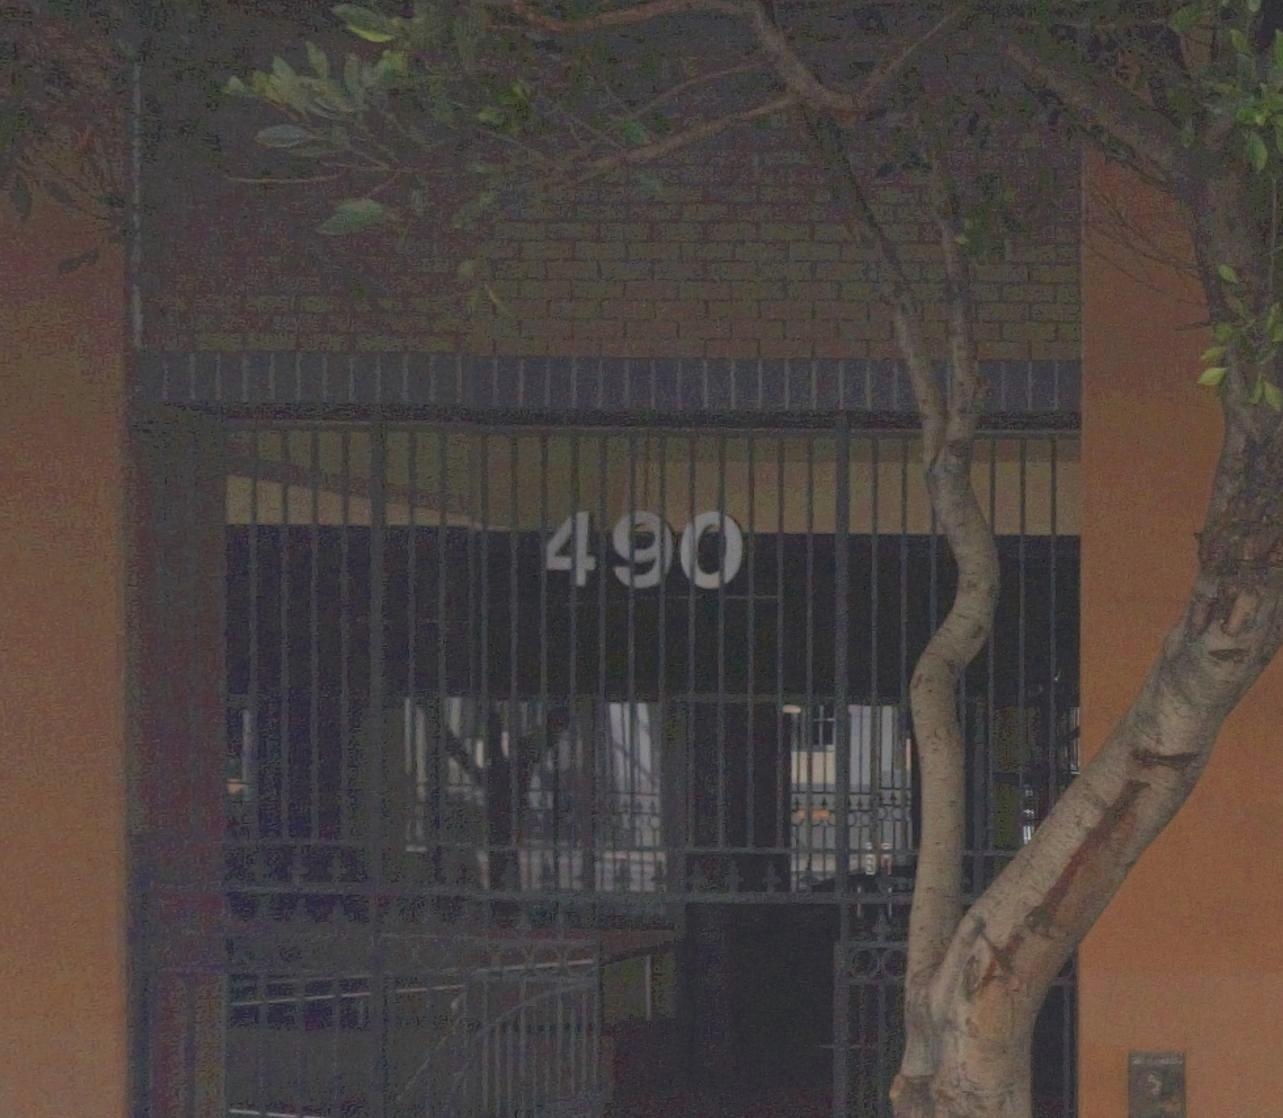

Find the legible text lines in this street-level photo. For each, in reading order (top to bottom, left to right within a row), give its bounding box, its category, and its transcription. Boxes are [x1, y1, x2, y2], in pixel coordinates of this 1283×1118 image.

[530, 506, 752, 595] StreetNumber: 490